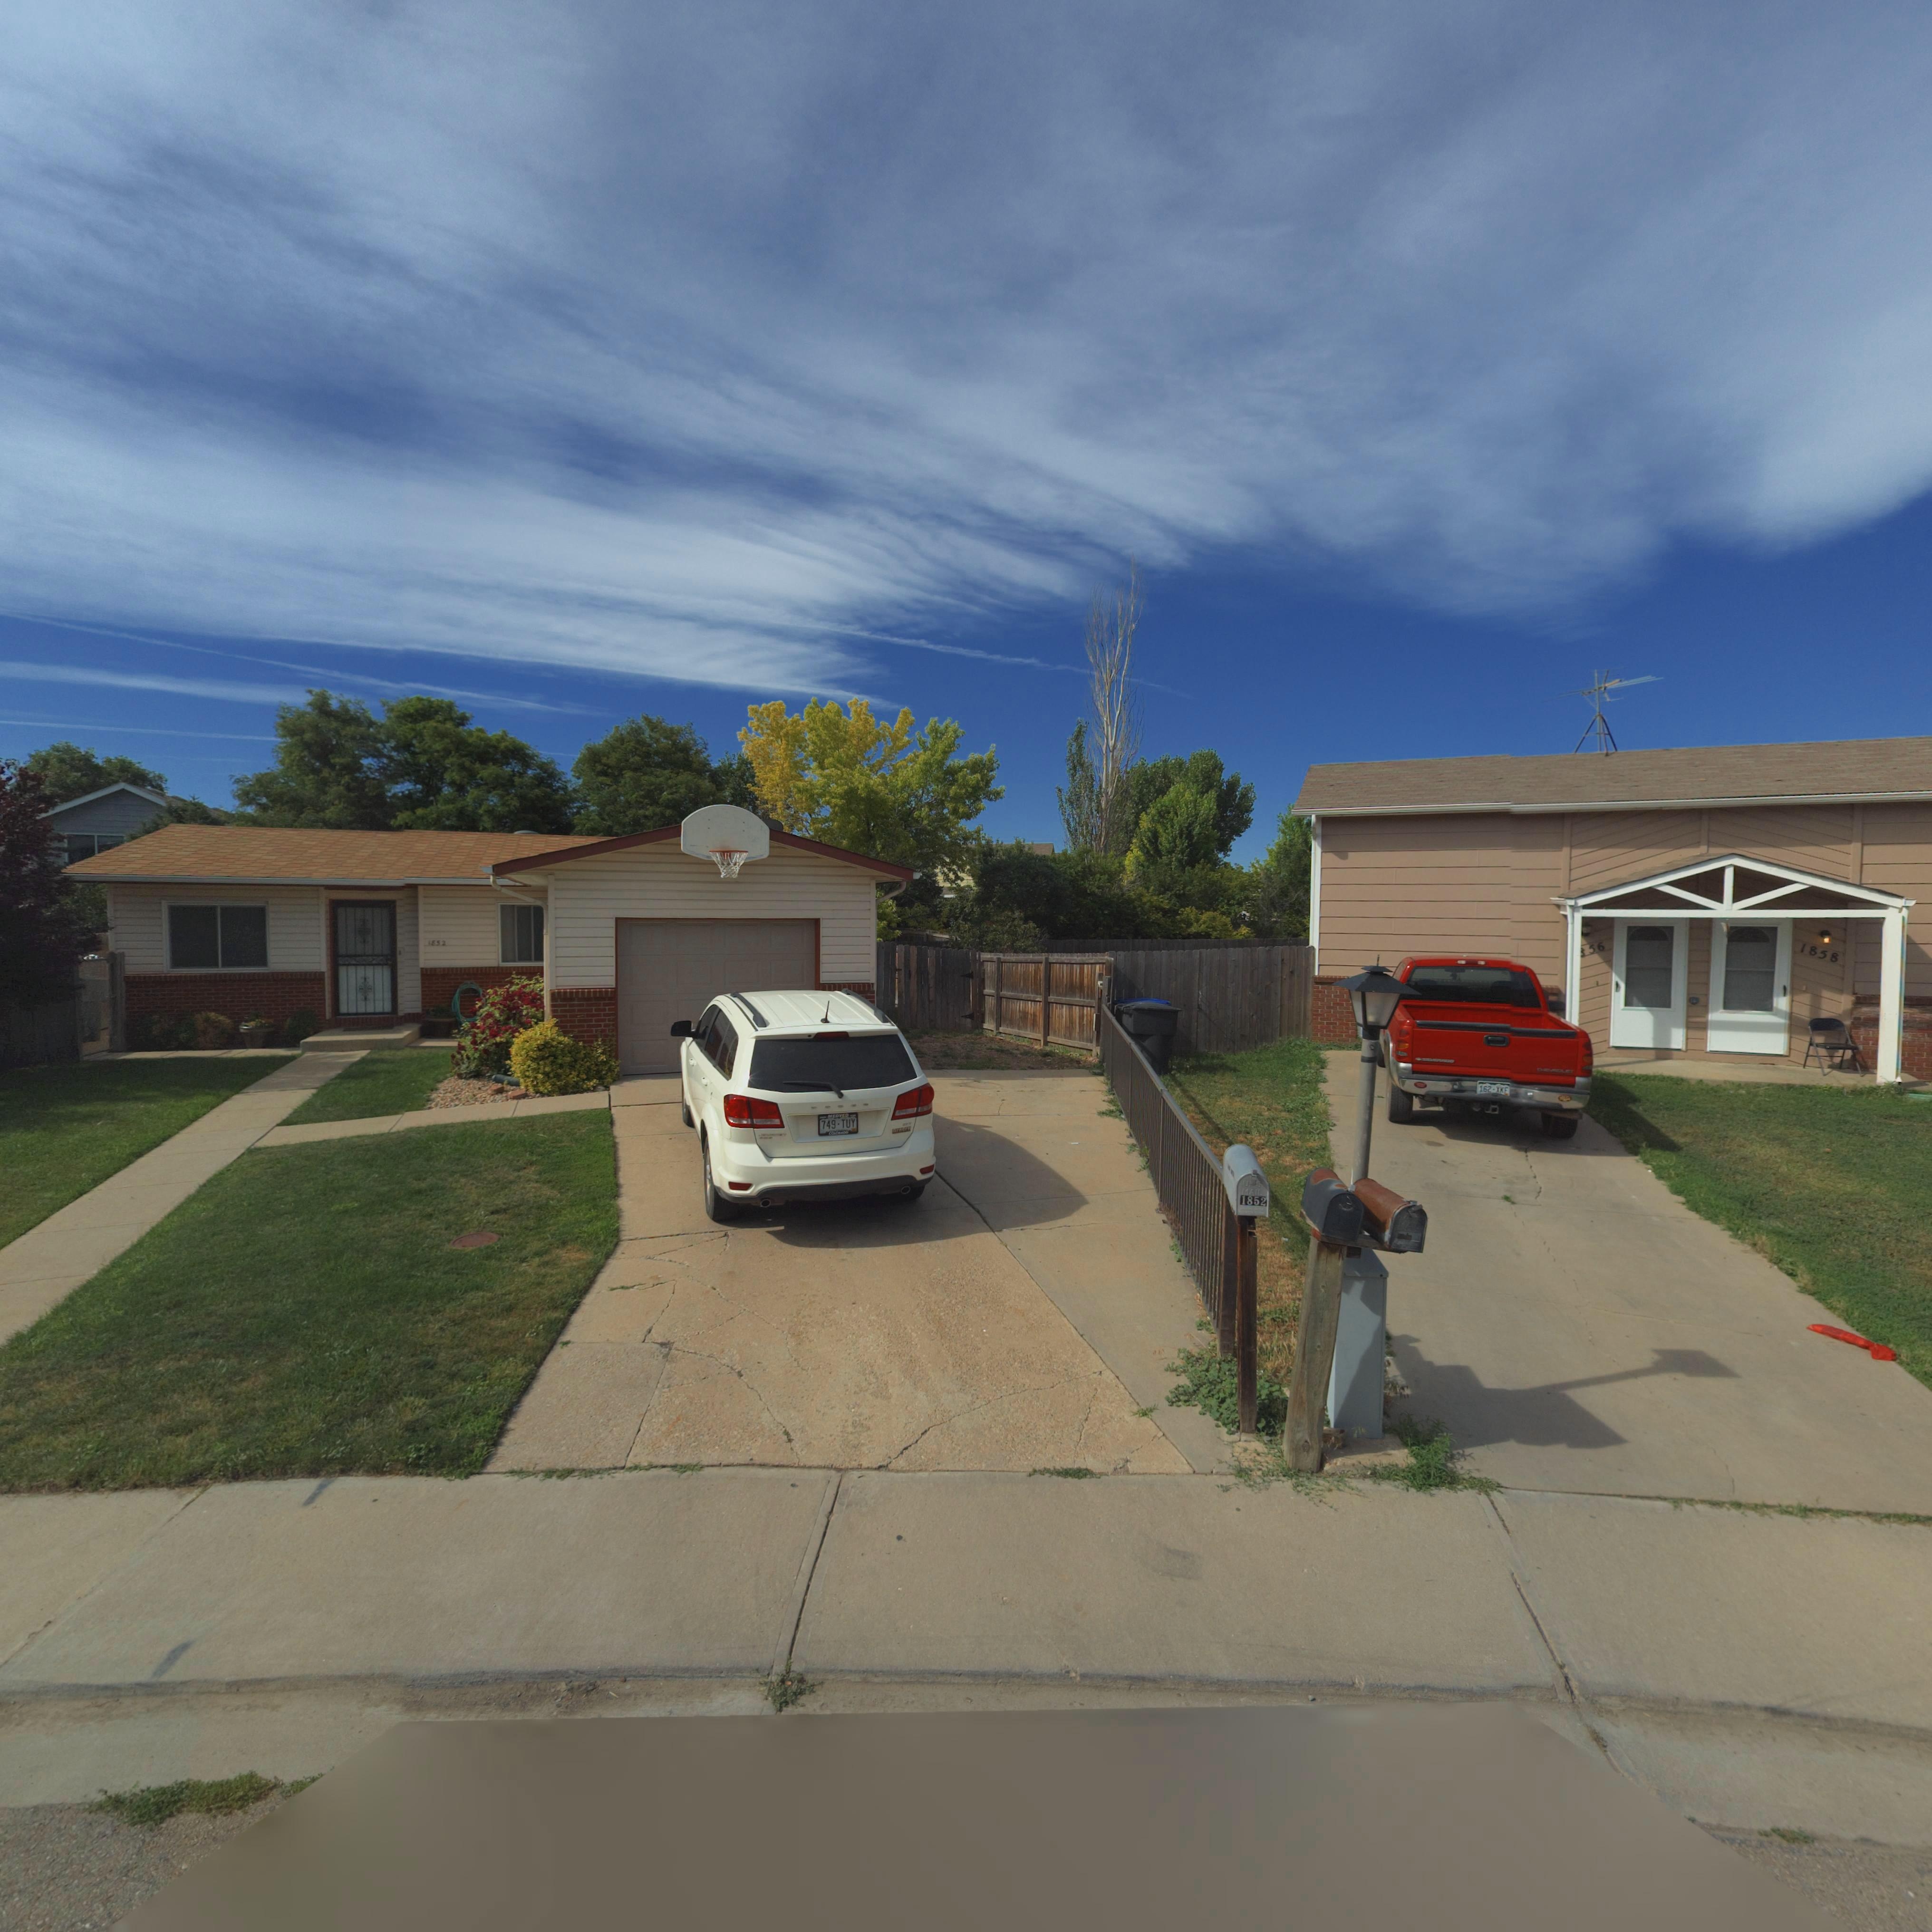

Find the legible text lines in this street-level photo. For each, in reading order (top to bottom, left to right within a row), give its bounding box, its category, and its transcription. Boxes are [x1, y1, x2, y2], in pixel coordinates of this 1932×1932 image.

[427, 939, 446, 946] StreetNumber: 1852
[1588, 941, 1605, 954] StreetNumber: 56
[1800, 943, 1839, 962] StreetNumber: 1858
[1241, 1195, 1266, 1206] StreetNumber: 1852